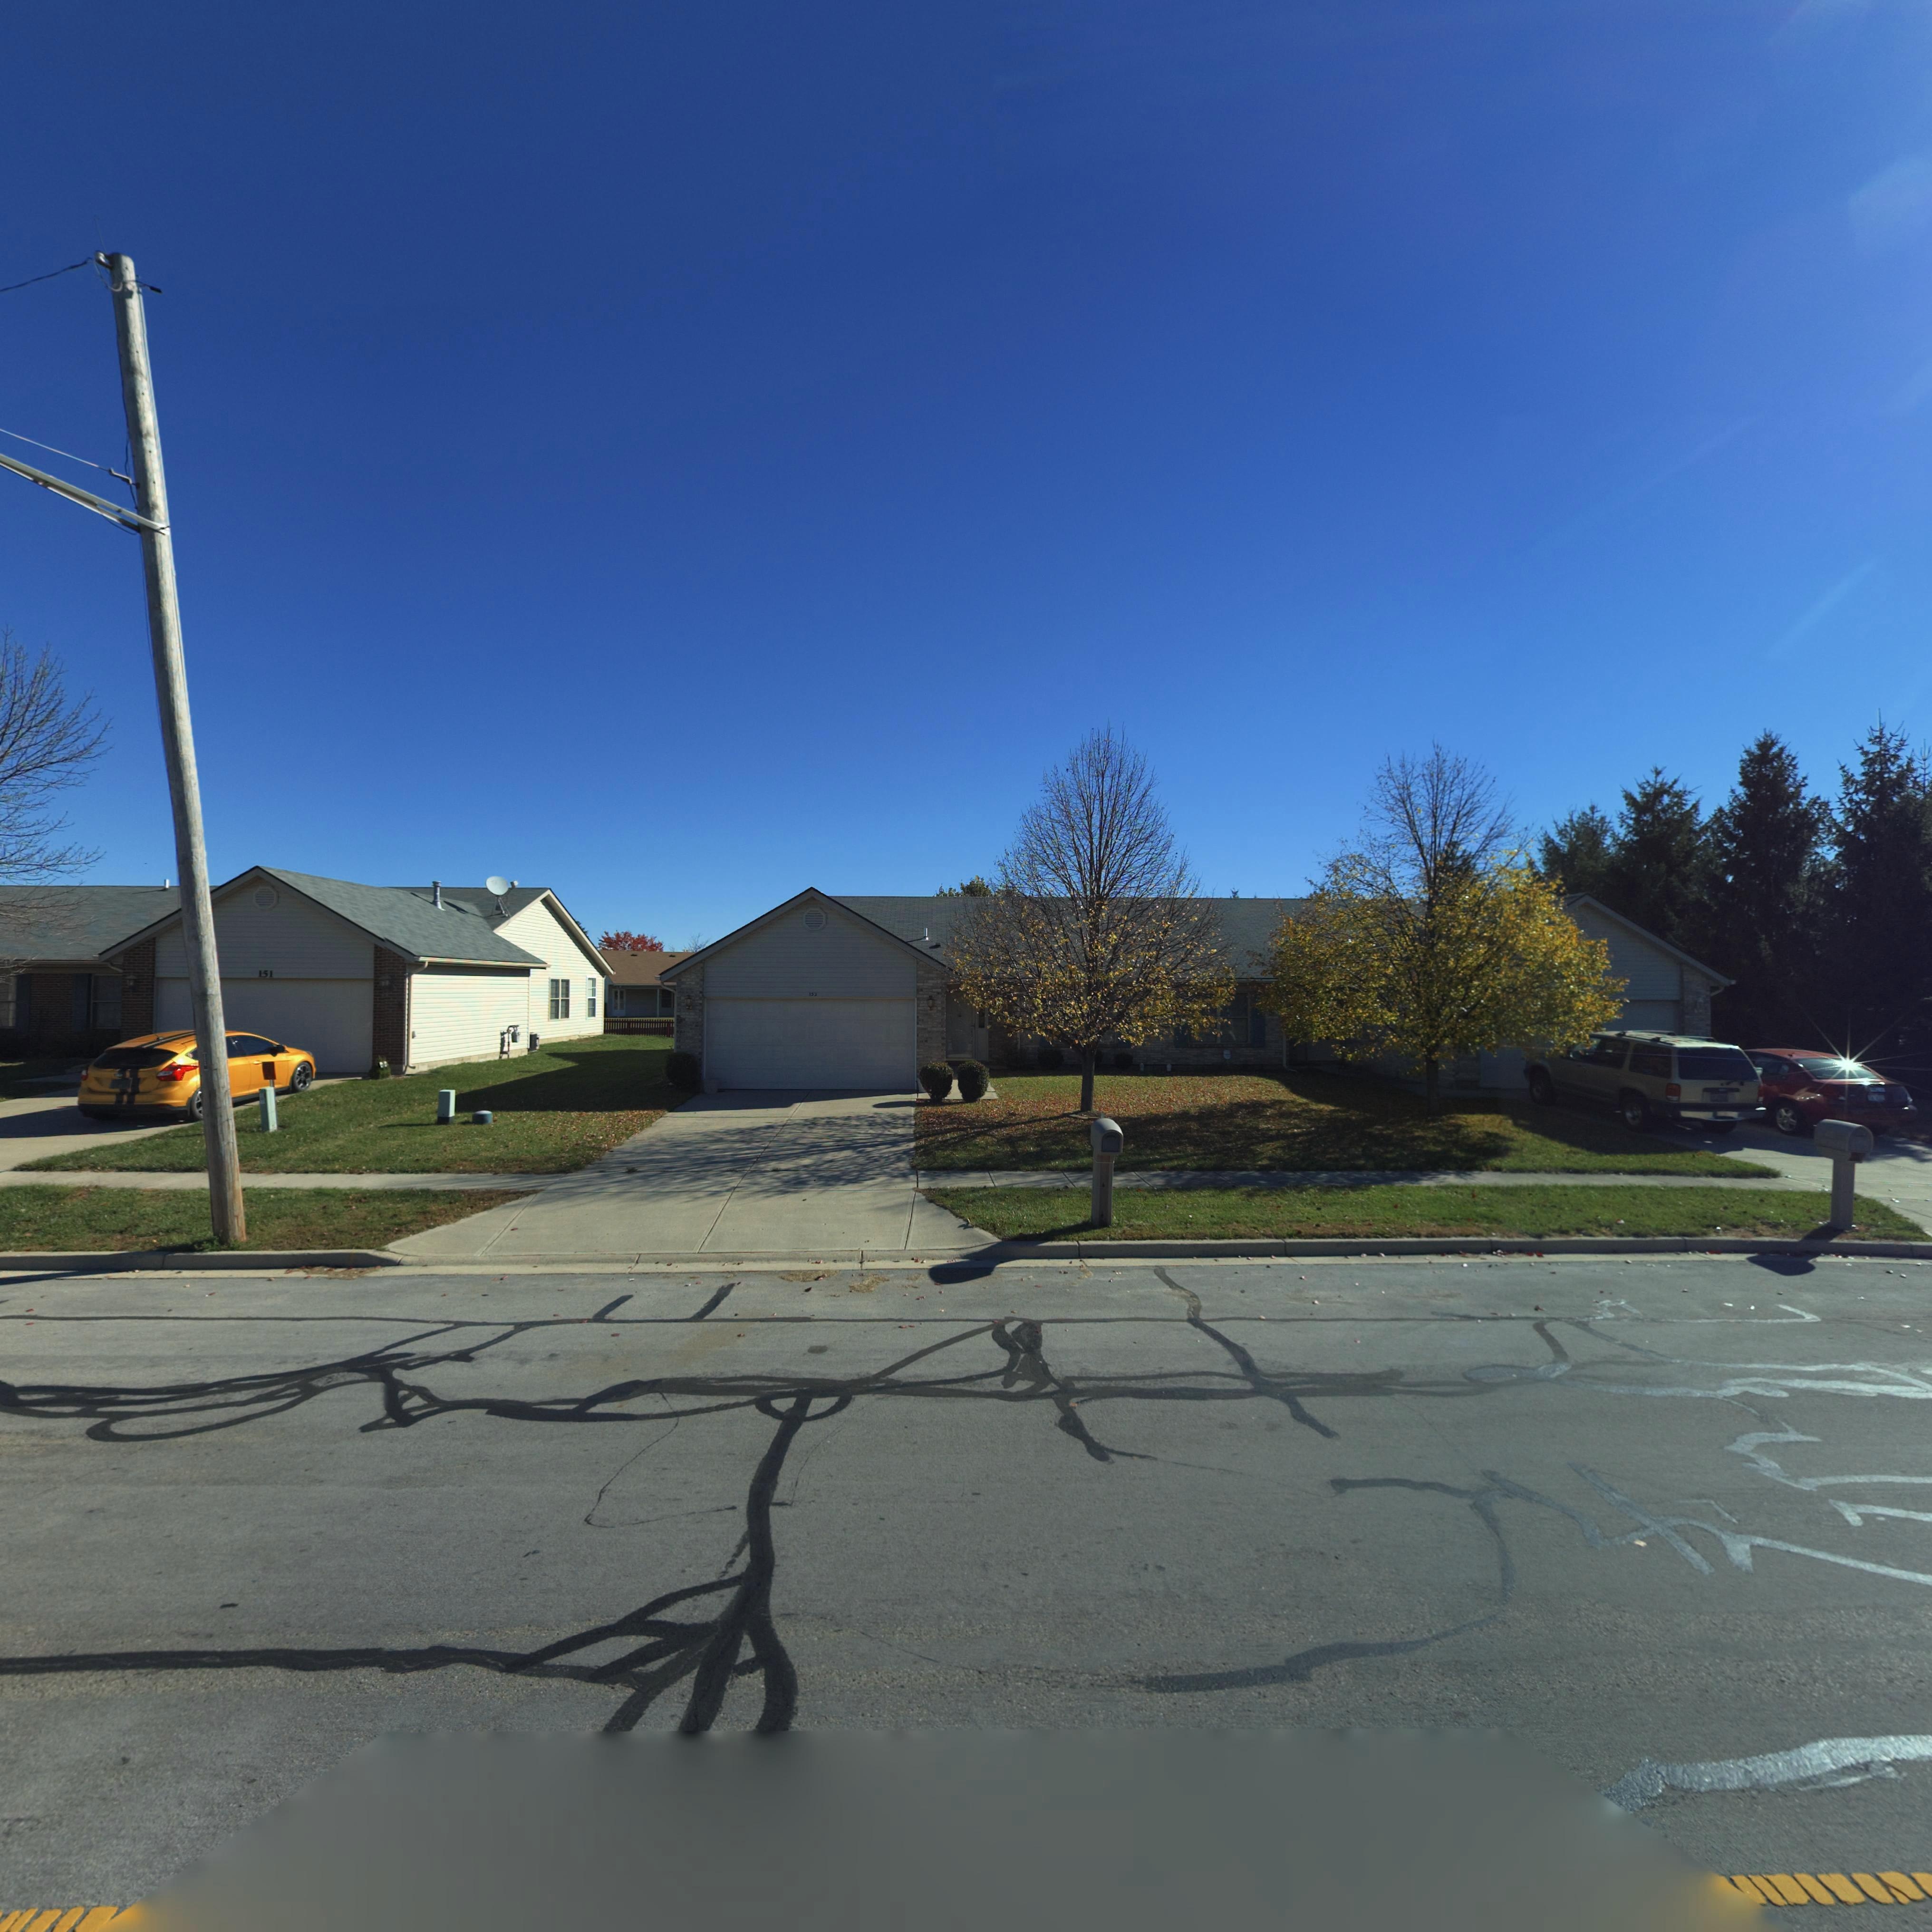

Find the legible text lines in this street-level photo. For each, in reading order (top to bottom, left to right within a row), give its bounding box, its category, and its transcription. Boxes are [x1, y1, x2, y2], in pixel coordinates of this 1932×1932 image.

[258, 969, 273, 978] StreetNumber: 151
[809, 992, 817, 996] StreetNumber: 153